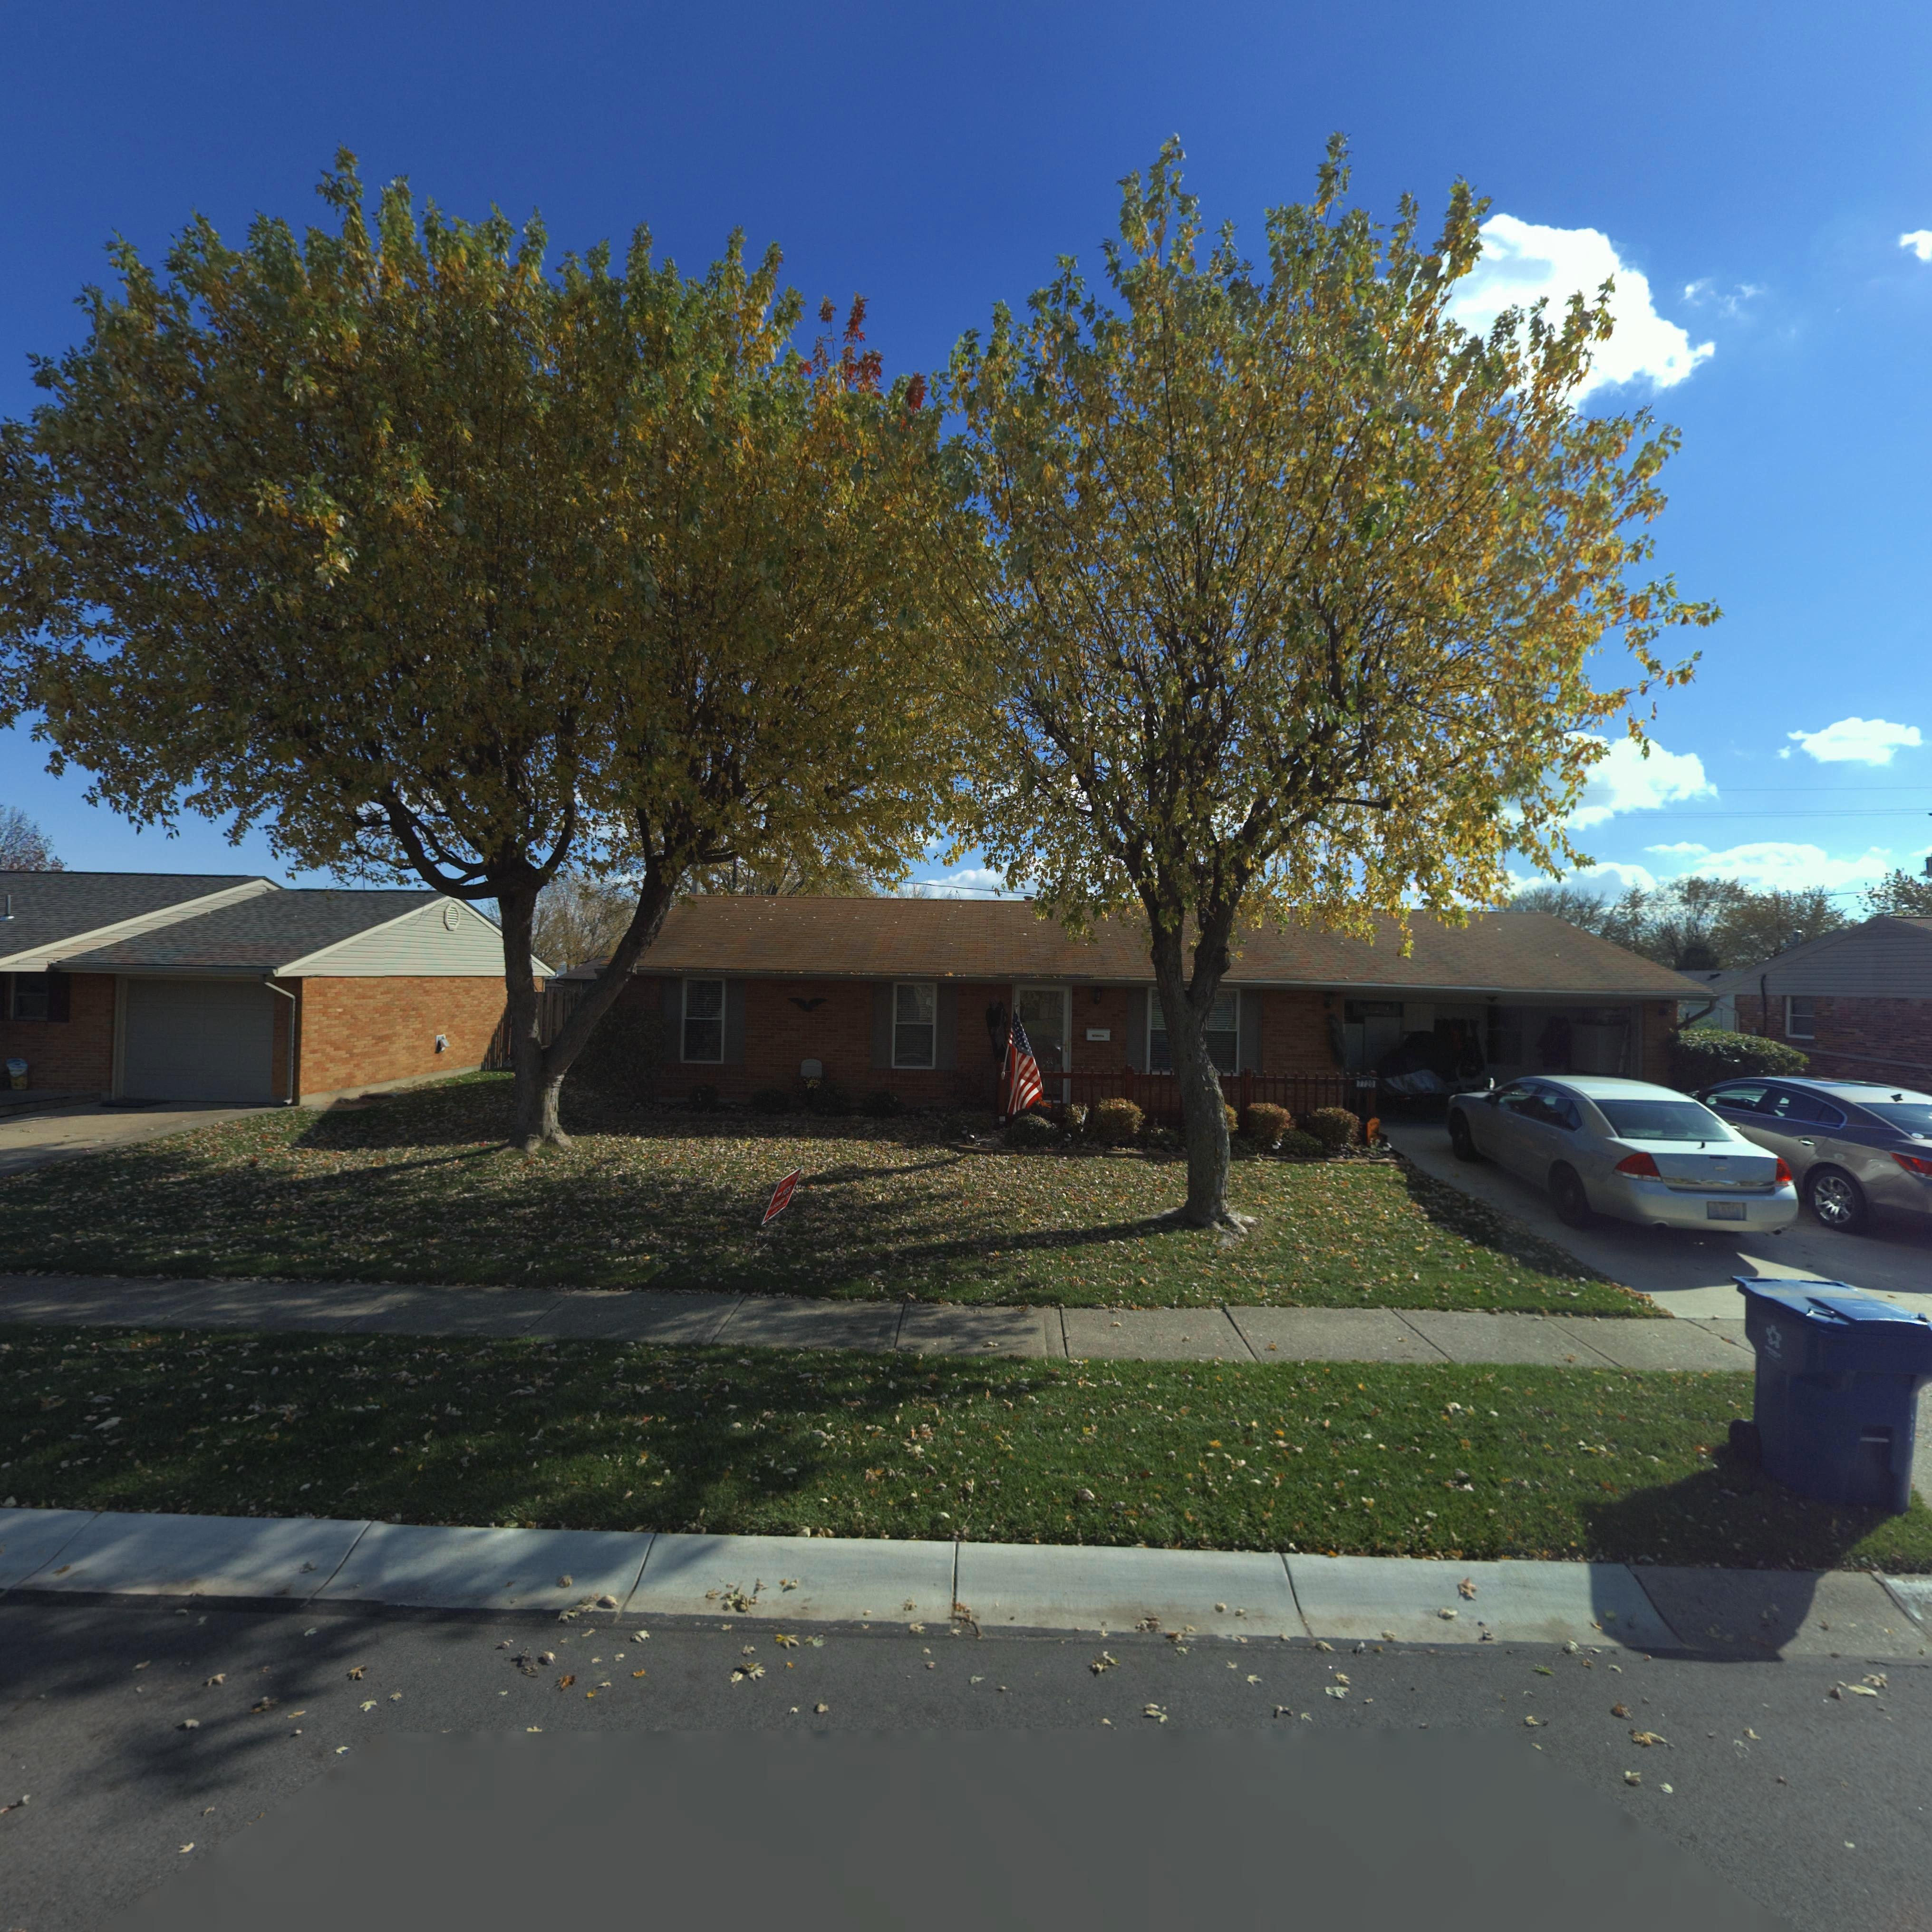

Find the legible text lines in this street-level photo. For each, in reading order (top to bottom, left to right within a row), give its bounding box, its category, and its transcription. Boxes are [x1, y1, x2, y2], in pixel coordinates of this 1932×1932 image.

[1357, 1079, 1375, 1088] StreetNumber: 7720